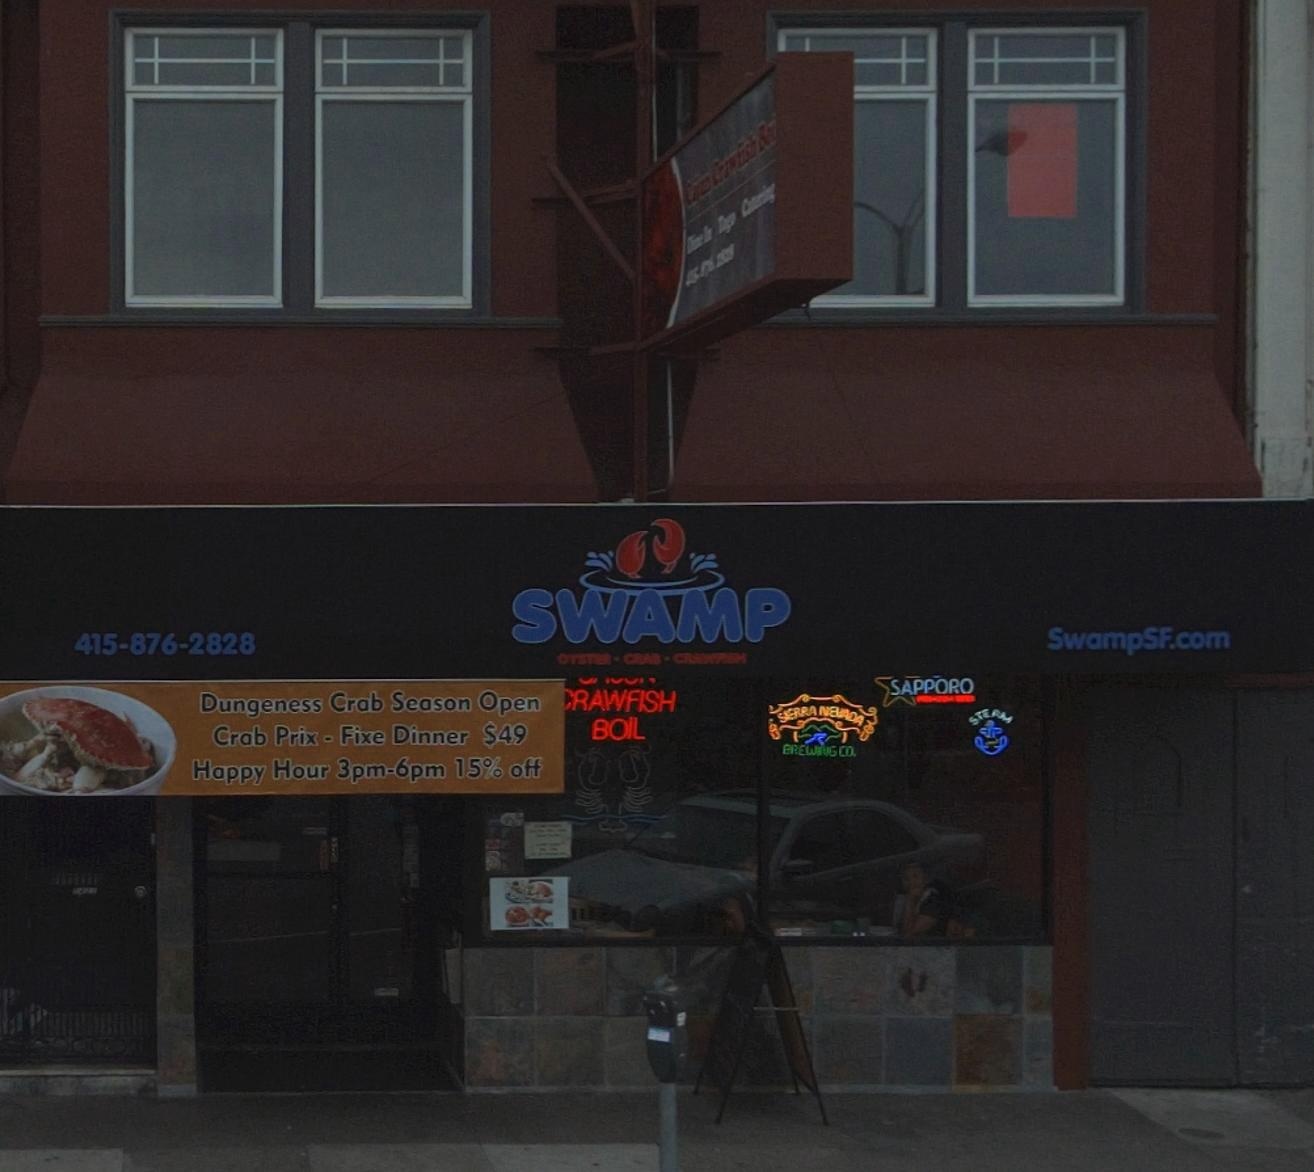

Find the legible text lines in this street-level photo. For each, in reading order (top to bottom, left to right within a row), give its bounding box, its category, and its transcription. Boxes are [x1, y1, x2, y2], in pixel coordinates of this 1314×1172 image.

[508, 583, 795, 647] BusinessName: SWAMP
[69, 628, 261, 659] None: 415-876-2828
[1044, 621, 1236, 660] None: SwampSF.com
[553, 650, 598, 669] None: OYST
[197, 686, 544, 722] None: Dungeness Crab Season Open
[209, 717, 532, 752] None: Crab Prix - Fixe Dinner $49
[587, 713, 650, 744] None: BOIL
[568, 685, 679, 715] None: RAWFISH
[773, 701, 868, 730] None: SERRA NE**DA
[888, 676, 979, 699] None: SAPPORO
[963, 704, 1018, 728] None: STE*M
[779, 741, 860, 760] None: BREW**G CO.
[189, 751, 547, 790] None: Happy Hour 3pm-6pm 15% off